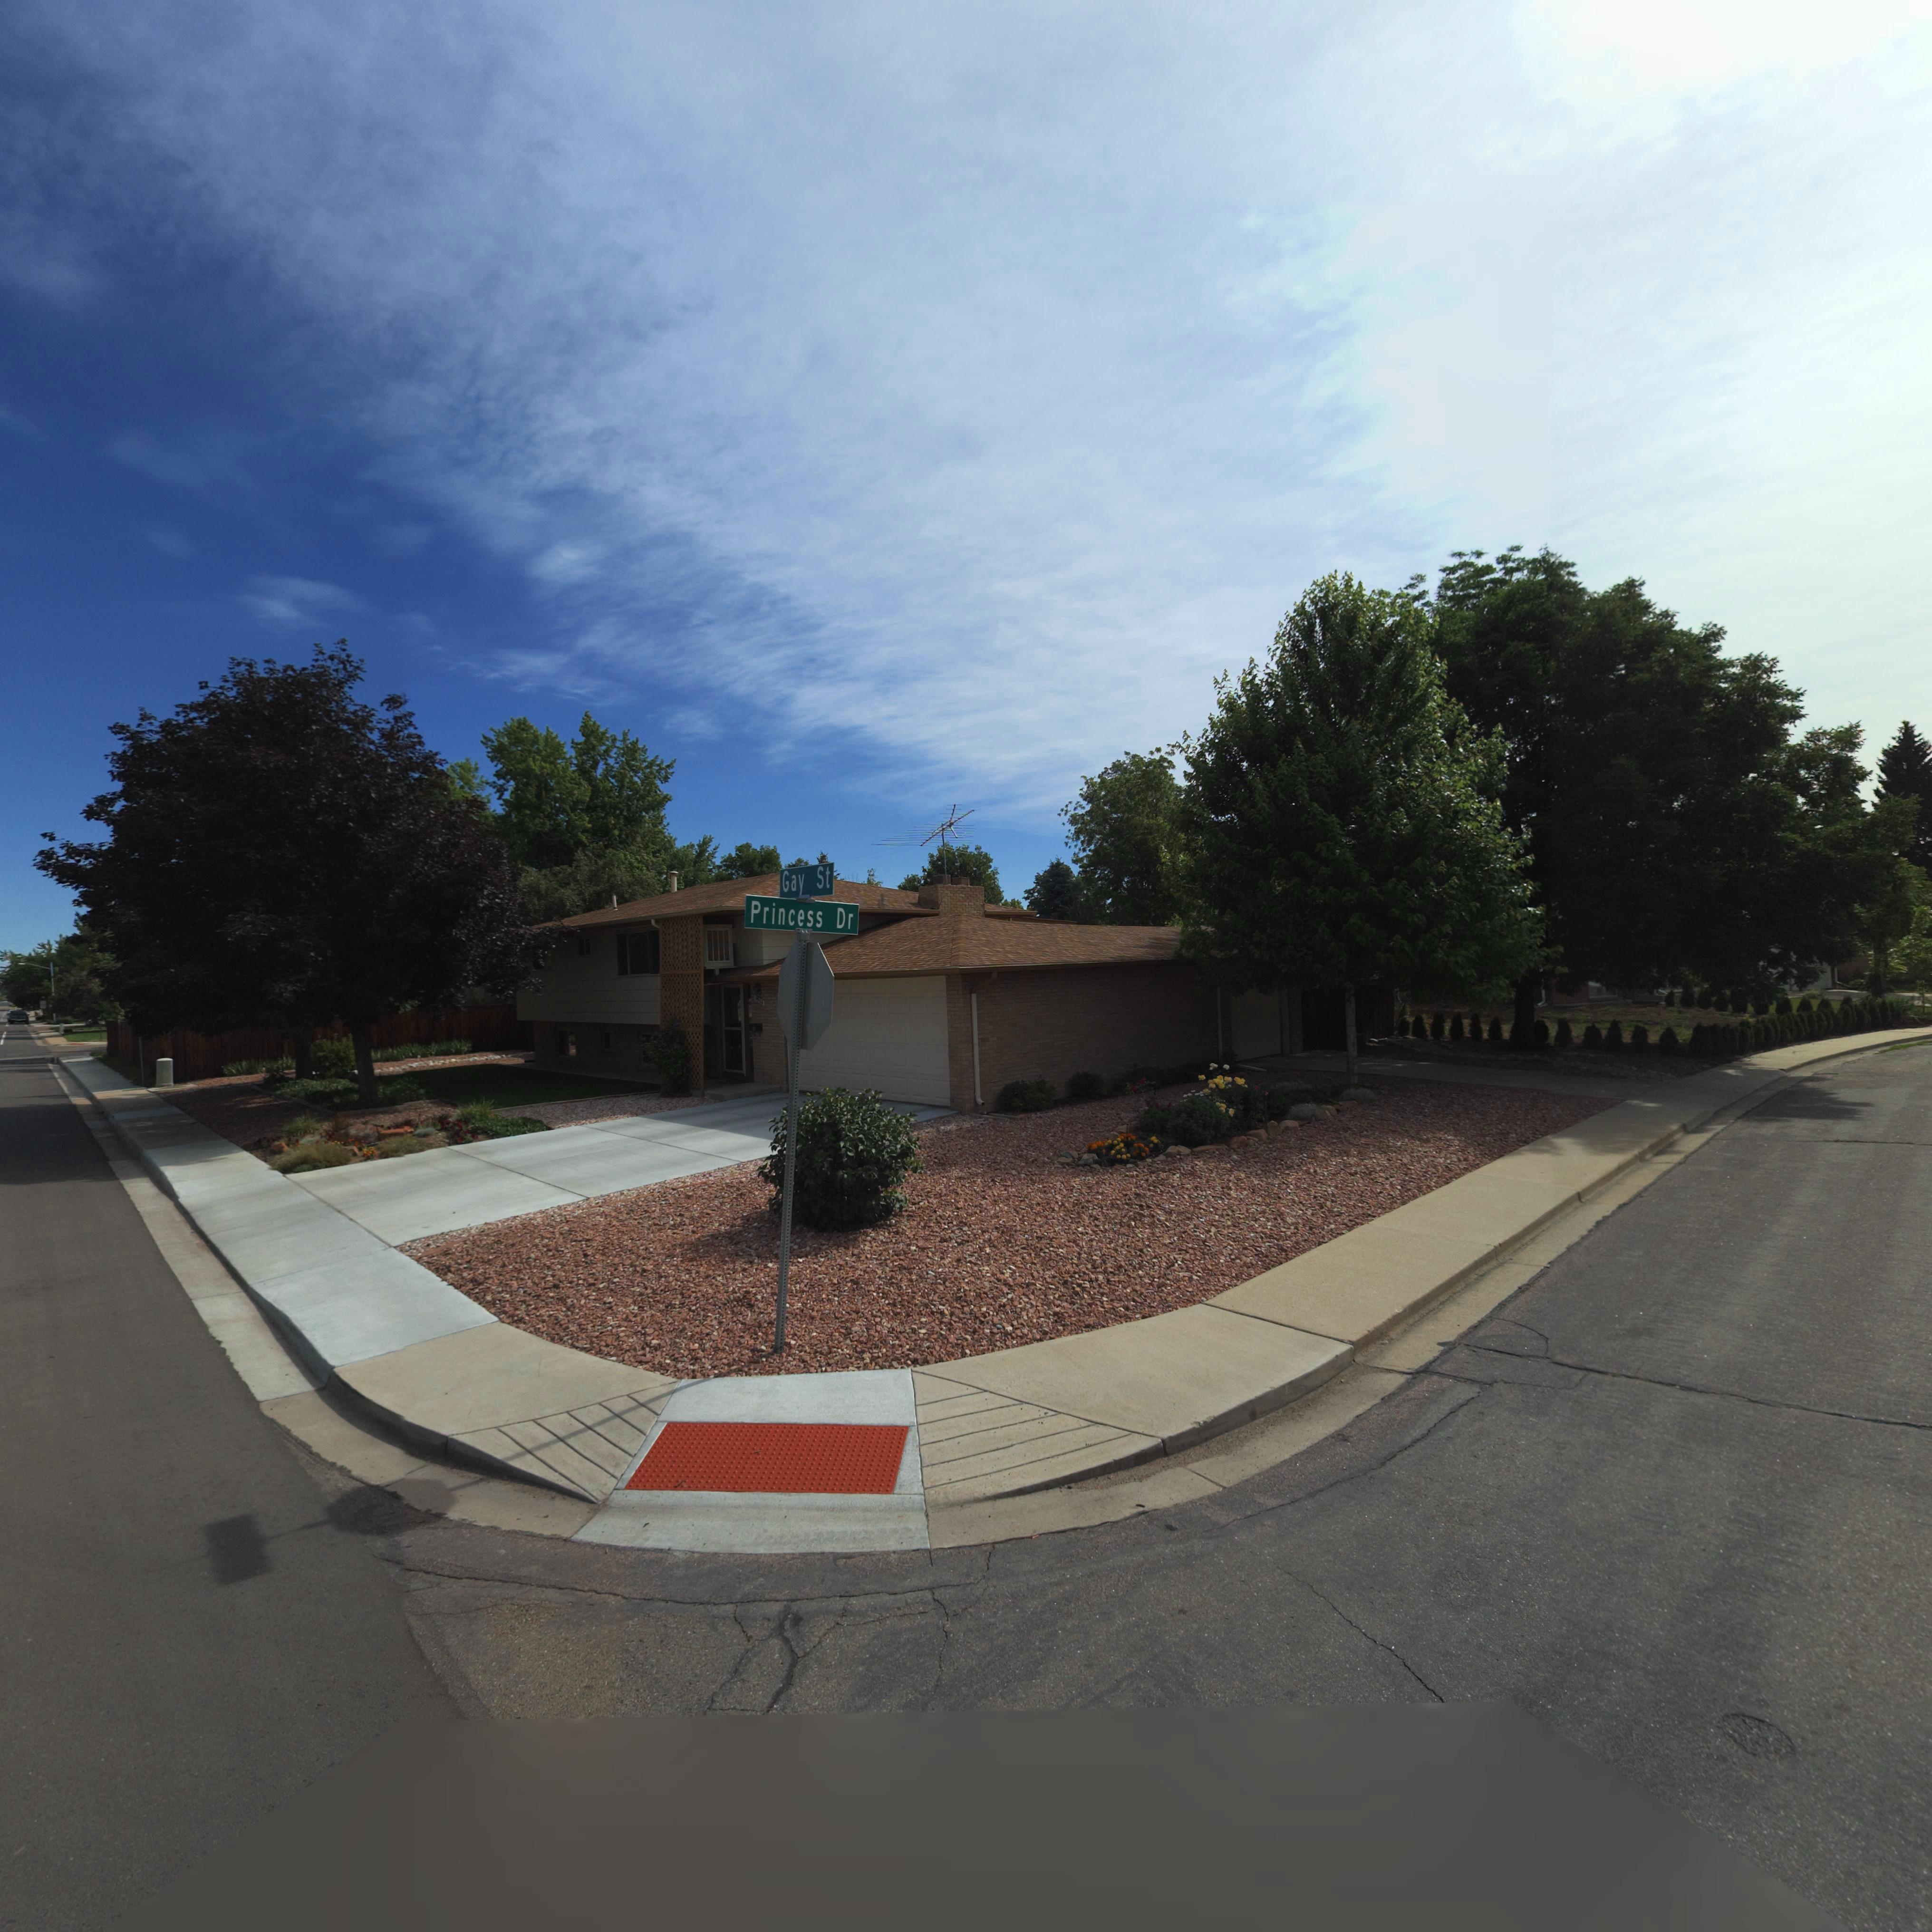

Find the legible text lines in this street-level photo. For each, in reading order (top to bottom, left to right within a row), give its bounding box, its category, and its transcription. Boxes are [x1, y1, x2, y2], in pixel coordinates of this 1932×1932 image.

[781, 865, 831, 897] StreetName: Gay St
[750, 899, 854, 930] StreetName: Princess Dr
[754, 995, 763, 1005] StreetNumber: 1**4